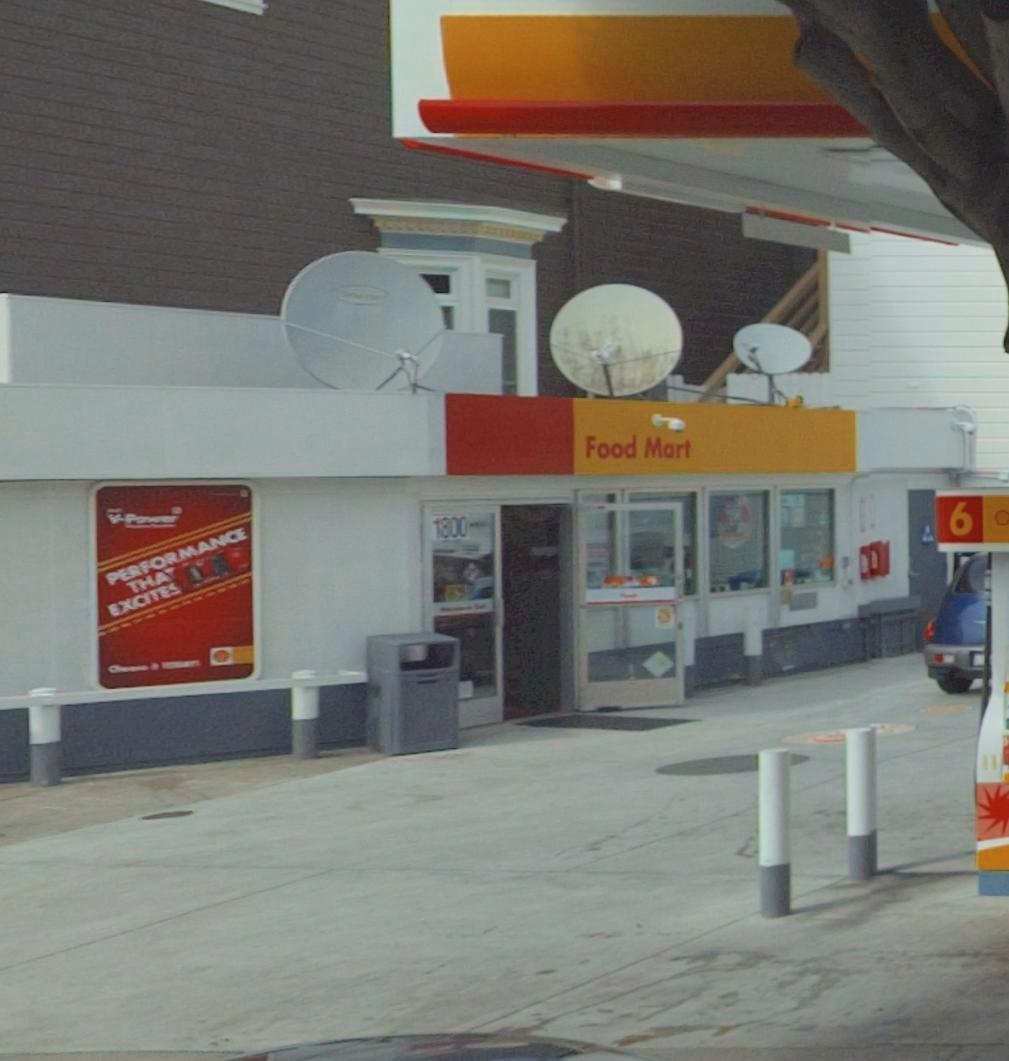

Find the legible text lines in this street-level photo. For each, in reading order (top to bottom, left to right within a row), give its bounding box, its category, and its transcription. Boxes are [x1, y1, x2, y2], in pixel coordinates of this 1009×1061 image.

[586, 435, 692, 459] BusinessName: Food Mart
[106, 513, 183, 525] None: V-Power
[433, 515, 468, 540] StreetNumber: 1800
[947, 501, 973, 536] None: 6
[103, 526, 249, 587] None: PERFORMANCE
[124, 564, 178, 595] None: THAT
[106, 581, 183, 619] None: EXCITES